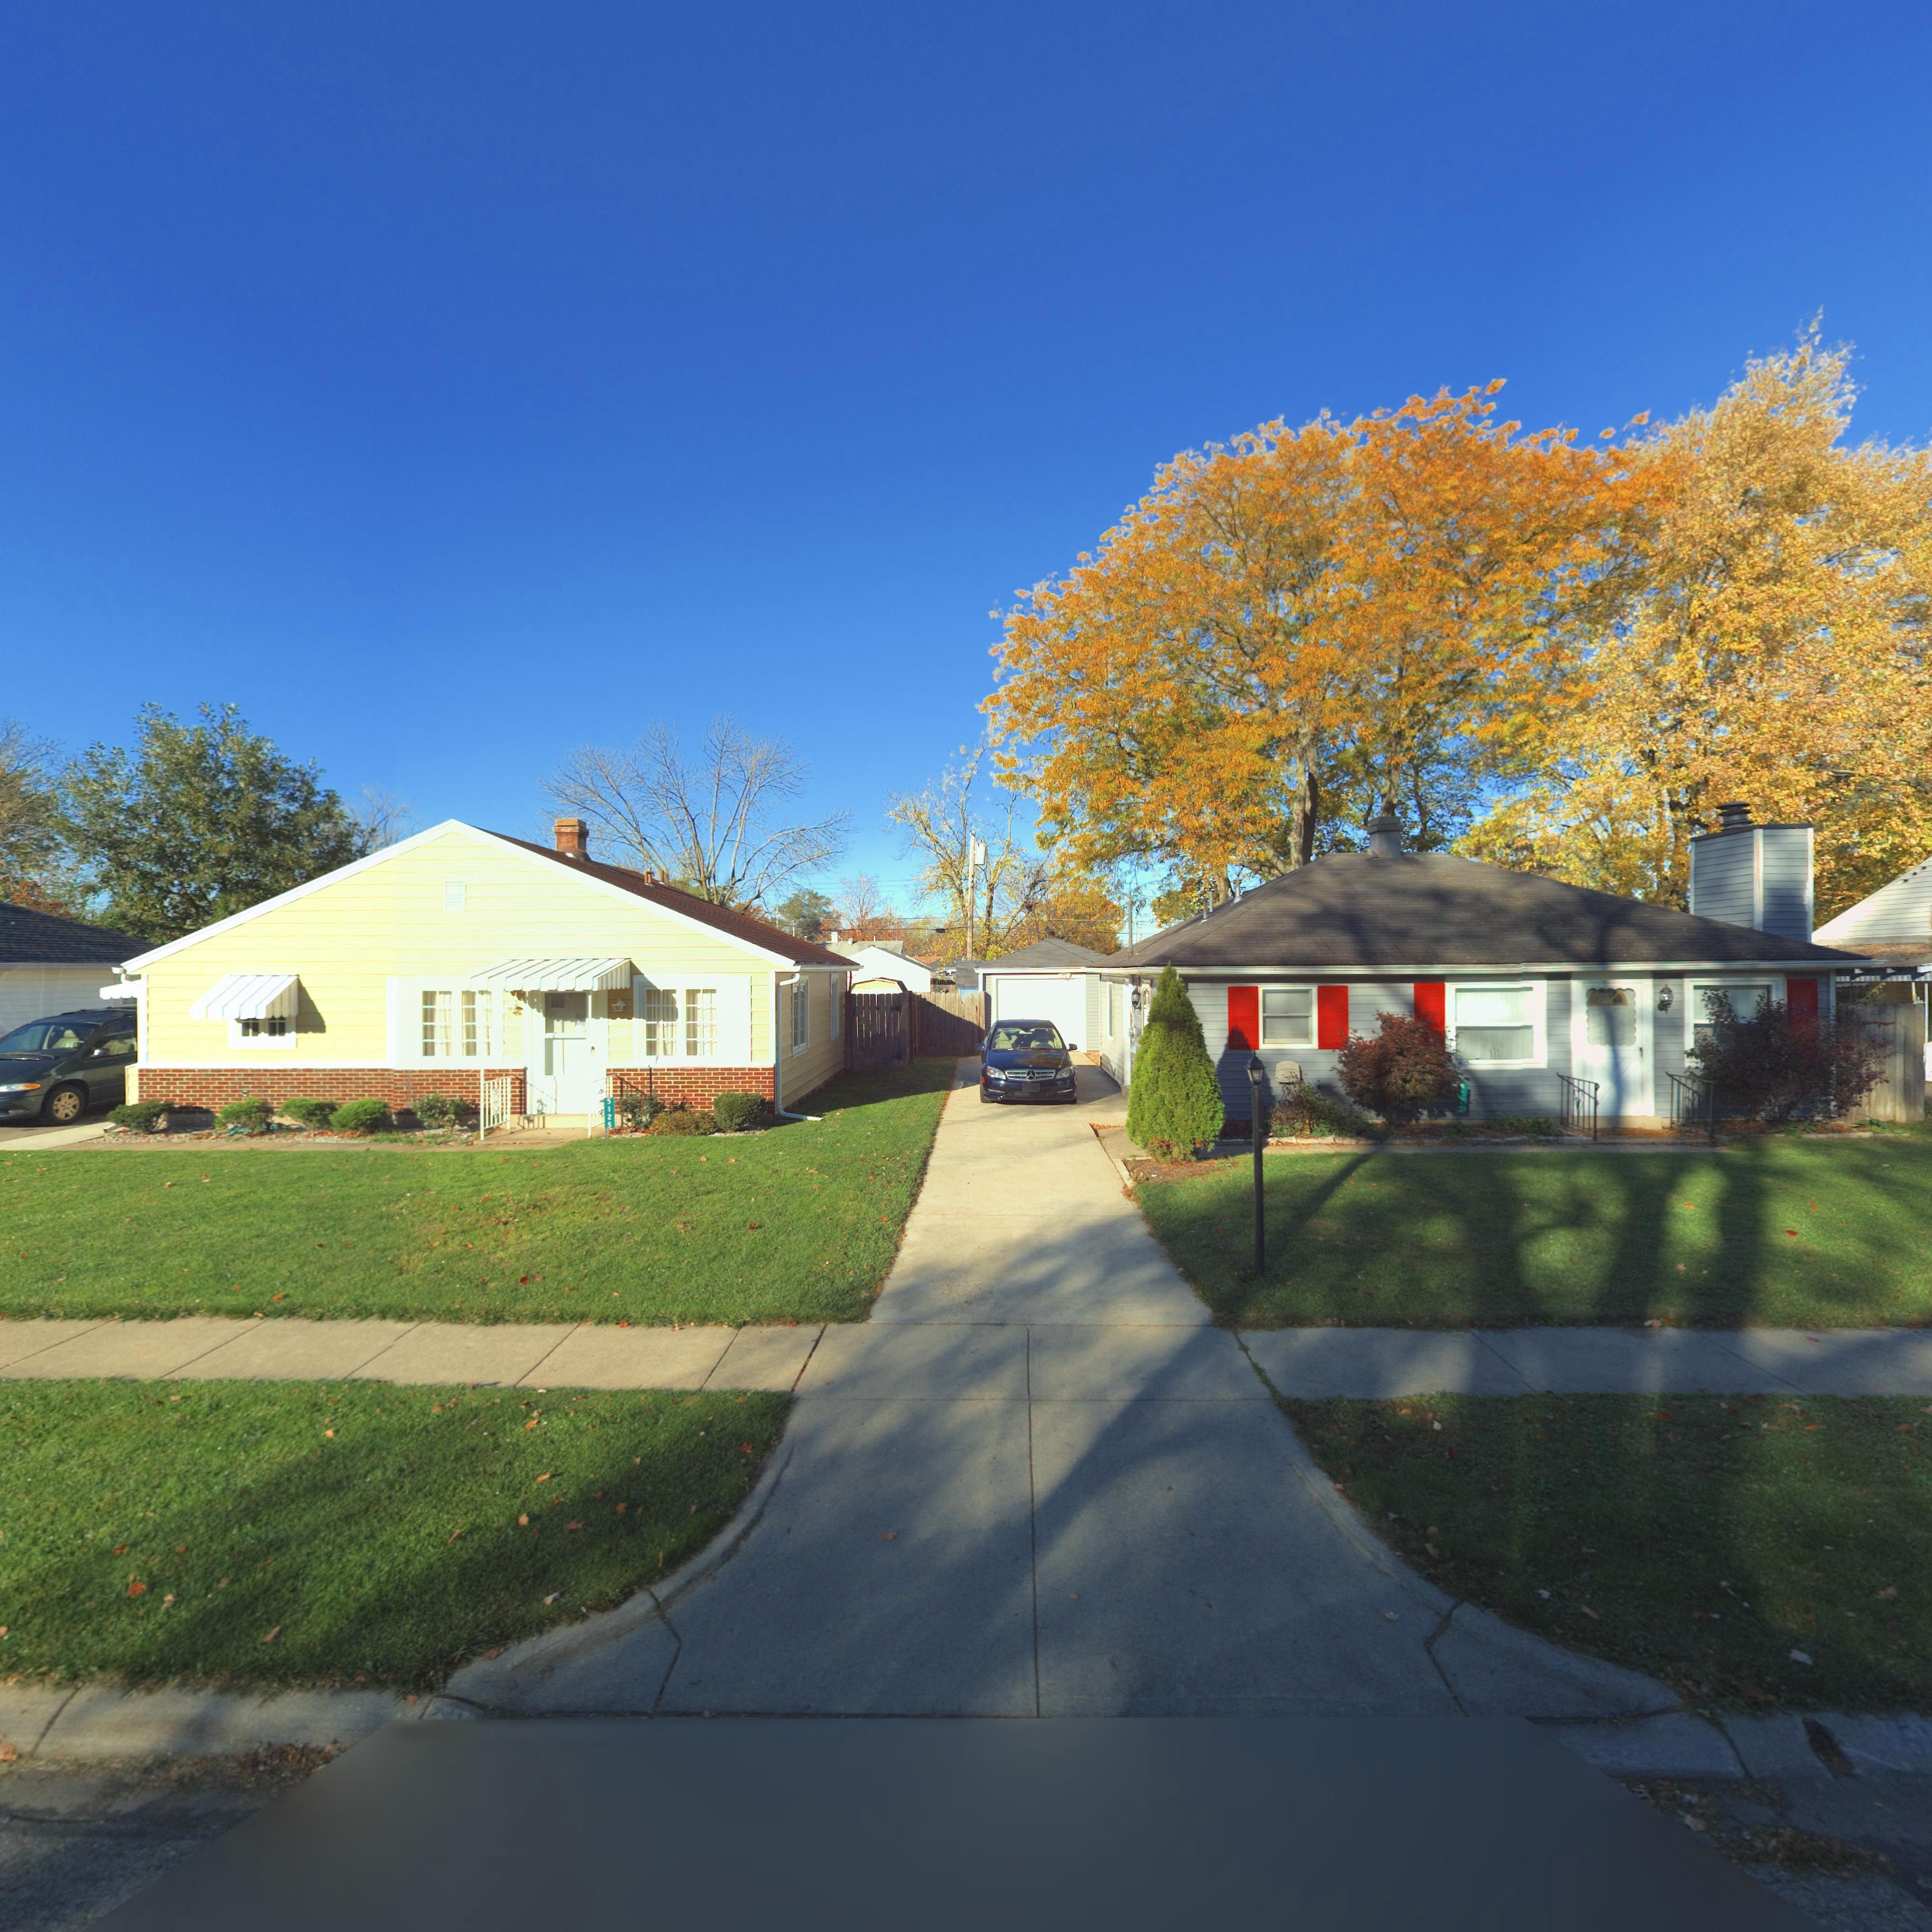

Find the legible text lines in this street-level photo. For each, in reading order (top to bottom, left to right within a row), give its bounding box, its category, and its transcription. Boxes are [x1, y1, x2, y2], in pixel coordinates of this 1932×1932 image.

[1459, 1082, 1466, 1090] StreetNumber: 5
[606, 1098, 612, 1129] StreetNumber: 5125